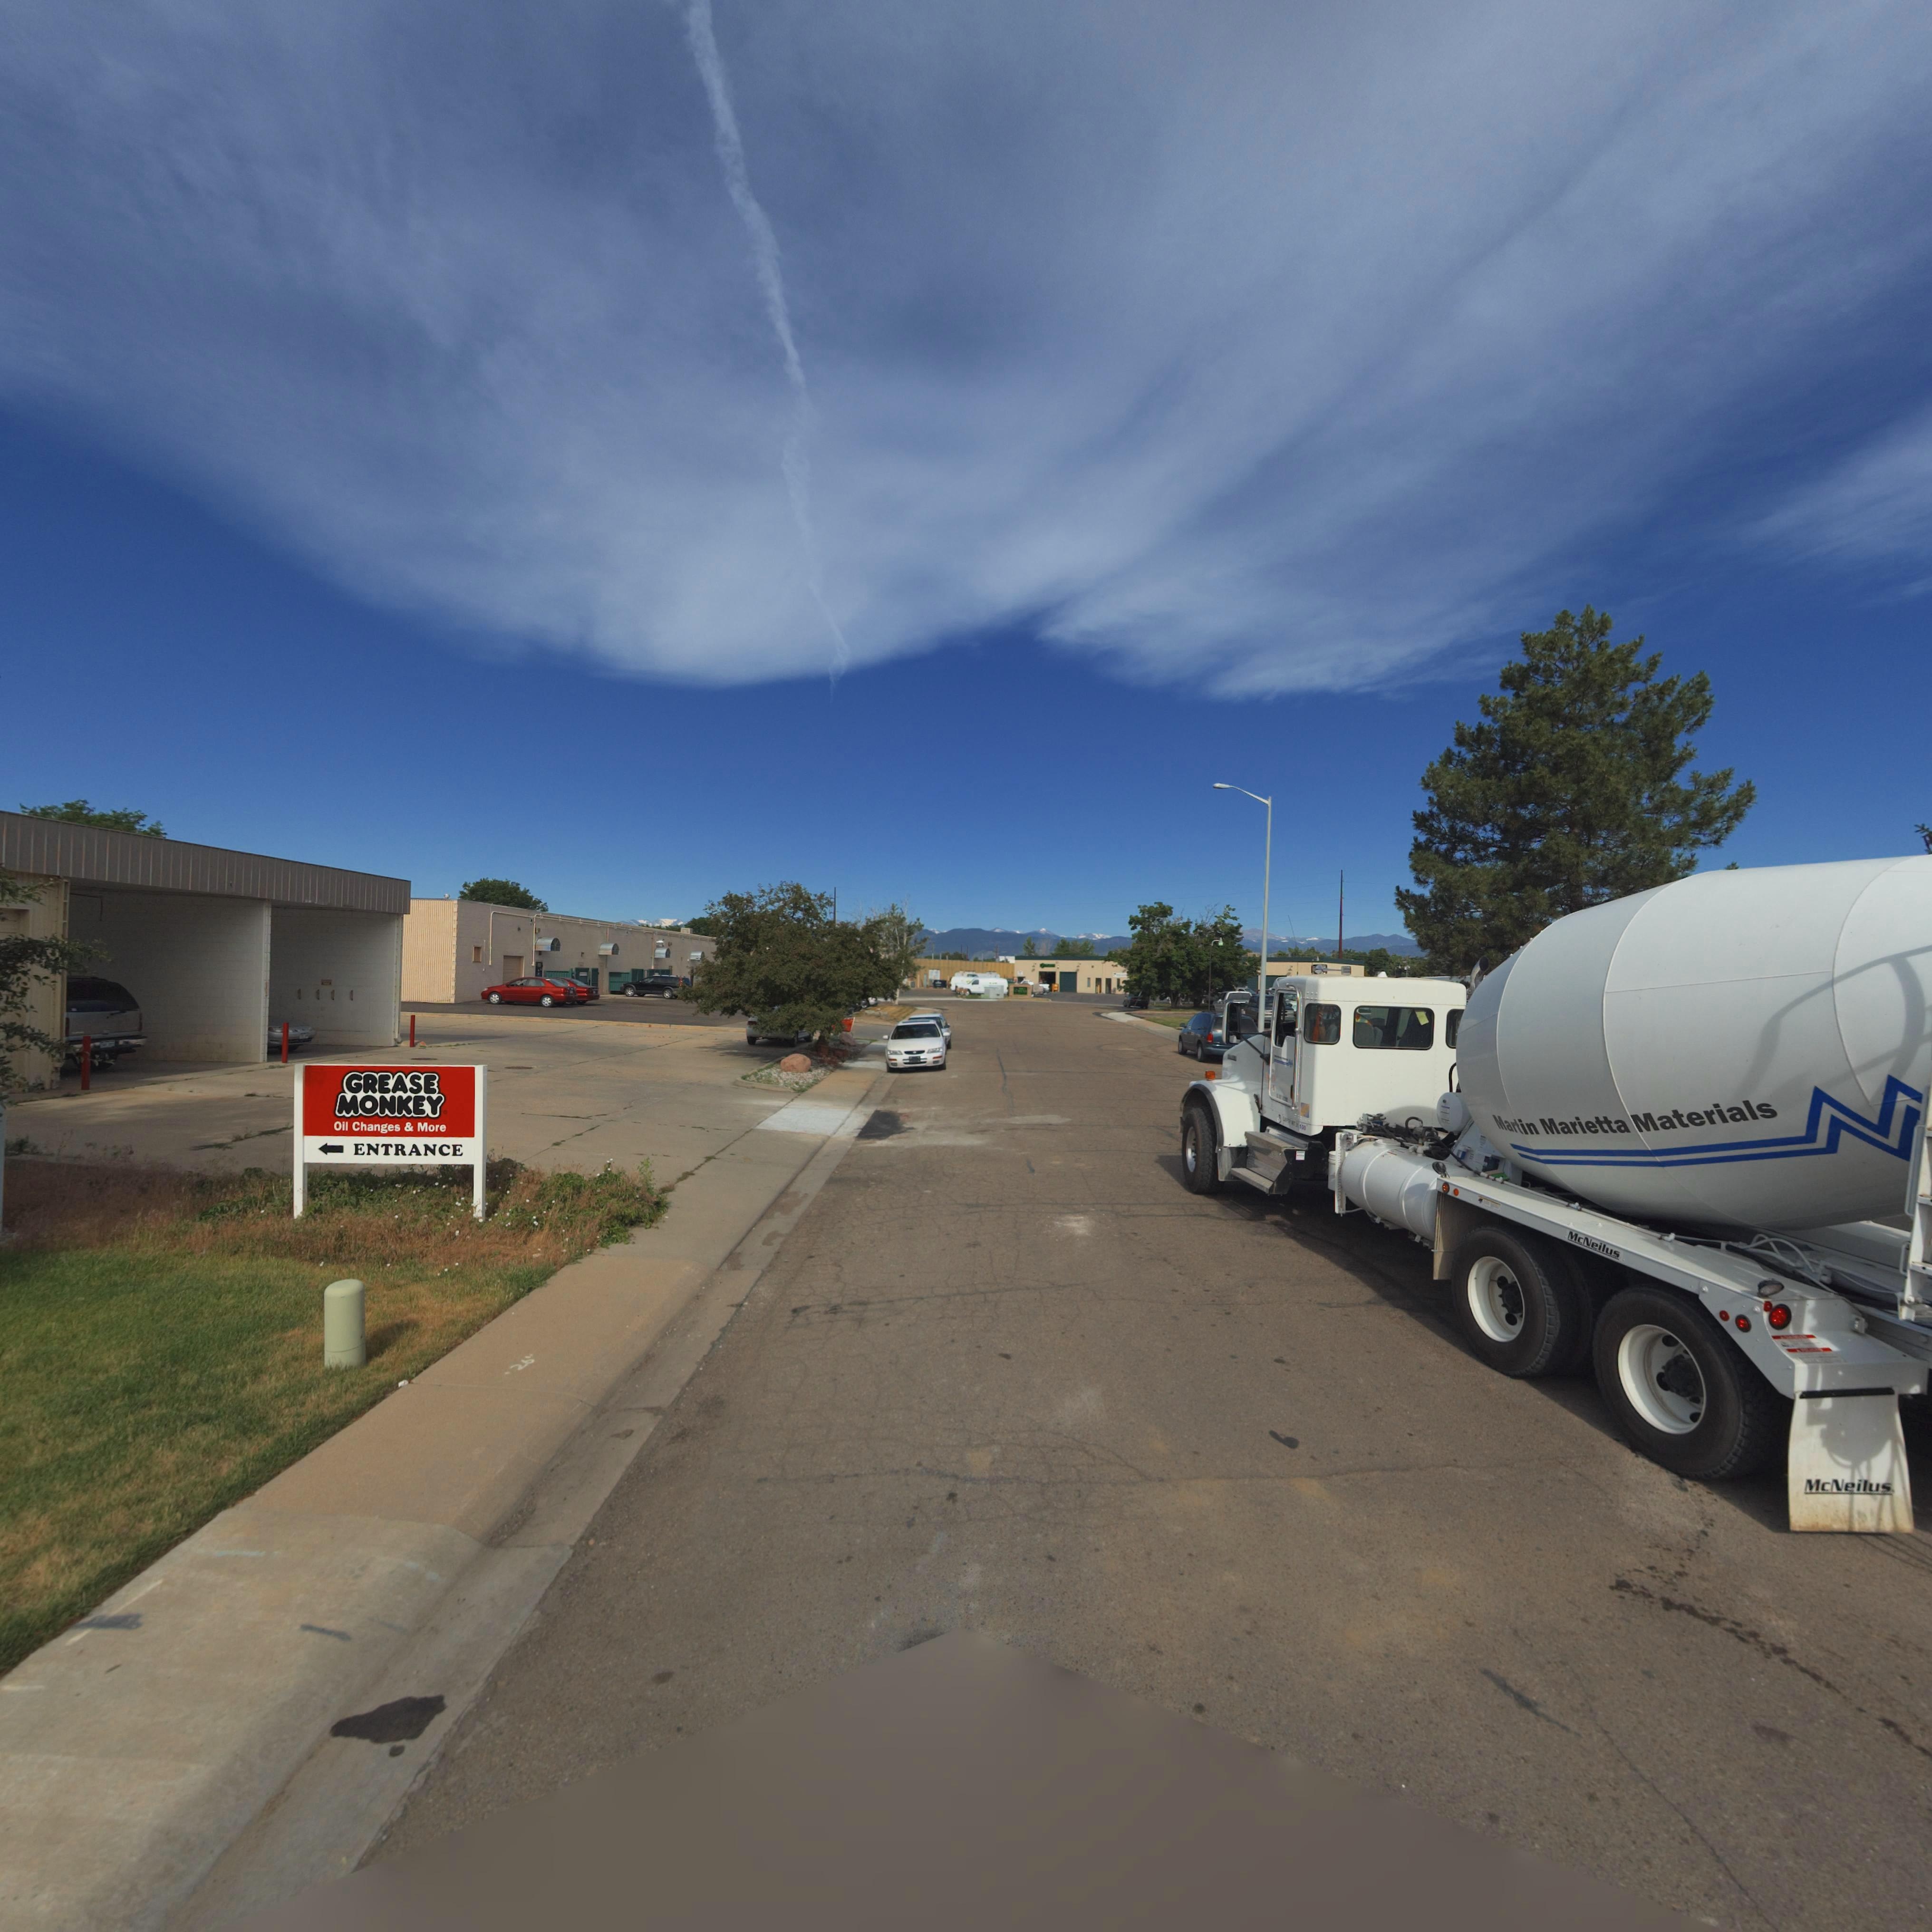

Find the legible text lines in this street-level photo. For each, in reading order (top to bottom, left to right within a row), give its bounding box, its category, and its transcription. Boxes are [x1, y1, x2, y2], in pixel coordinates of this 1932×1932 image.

[344, 1072, 437, 1094] BusinessName: GREASE
[336, 1093, 444, 1116] BusinessName: MONKEY